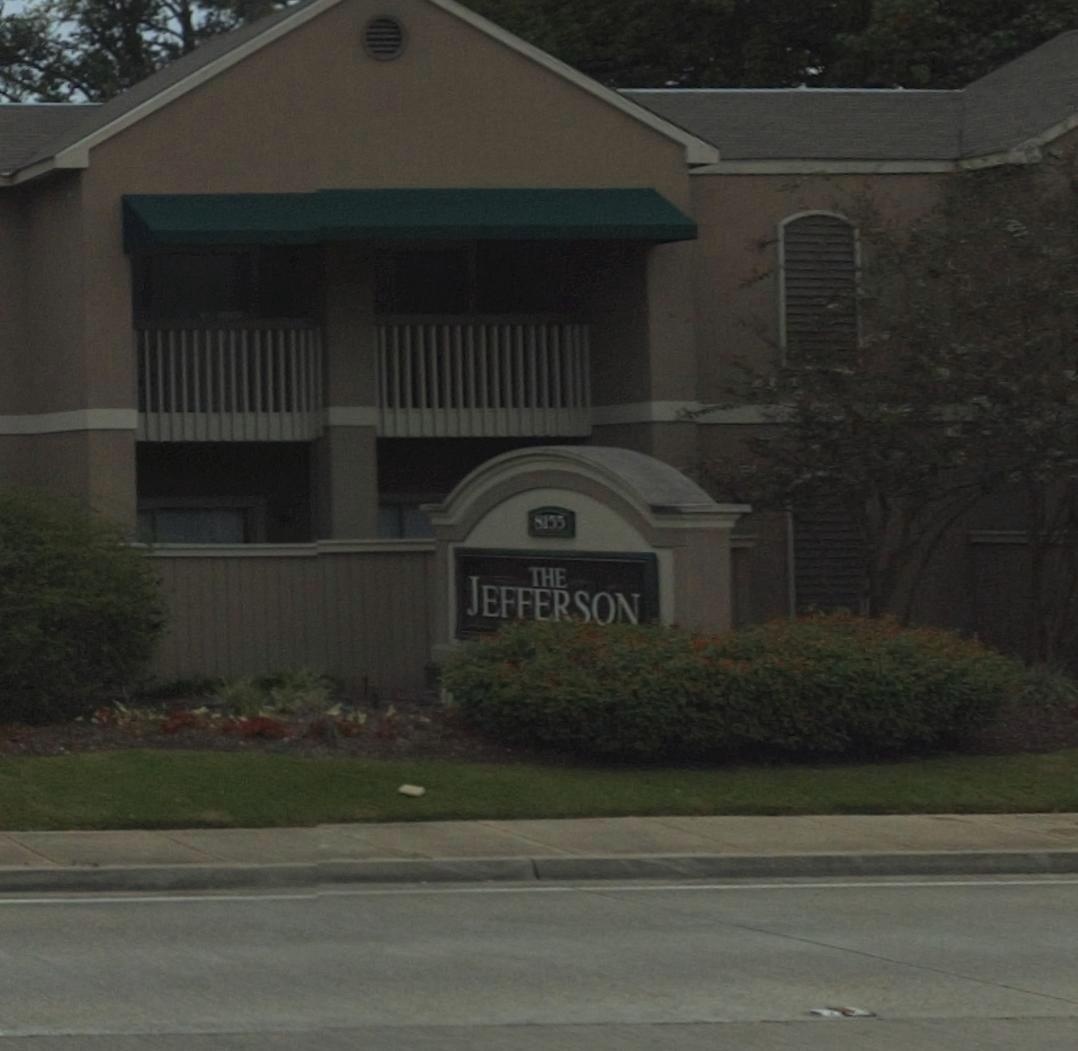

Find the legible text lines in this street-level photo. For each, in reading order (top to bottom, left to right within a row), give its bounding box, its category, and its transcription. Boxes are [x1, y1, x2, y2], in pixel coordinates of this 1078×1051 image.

[533, 514, 566, 531] StreetNumber: 8155
[527, 566, 567, 589] BusinessName: THE
[466, 573, 642, 627] BusinessName: JEFFERSON